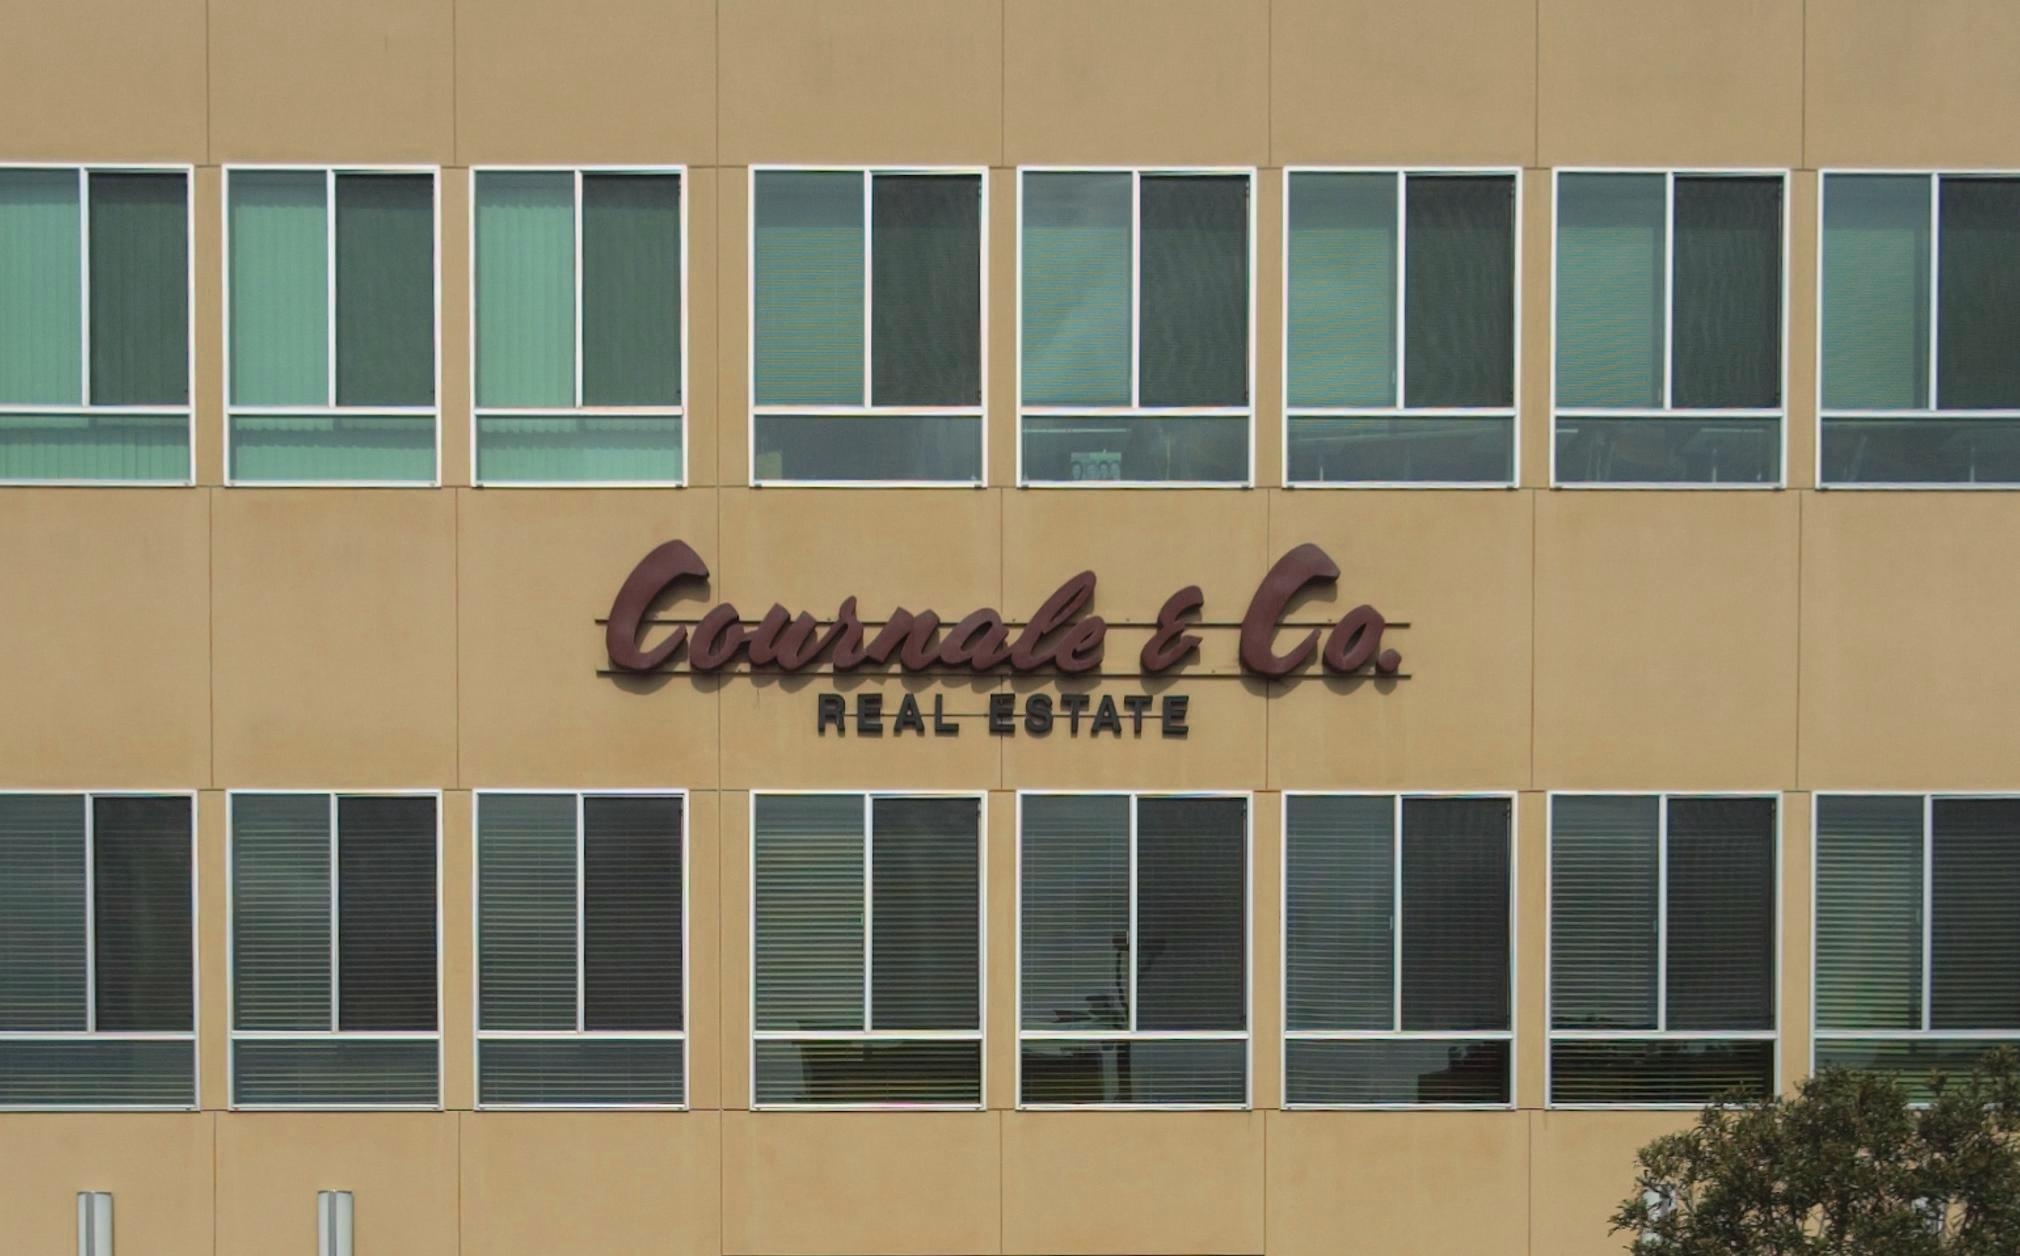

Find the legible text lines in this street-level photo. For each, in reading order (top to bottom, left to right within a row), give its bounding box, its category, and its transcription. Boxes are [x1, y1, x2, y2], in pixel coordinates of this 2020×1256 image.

[598, 537, 1406, 681] BusinessName: Cournale & Co.
[812, 688, 1193, 739] None: REAL ESTATE